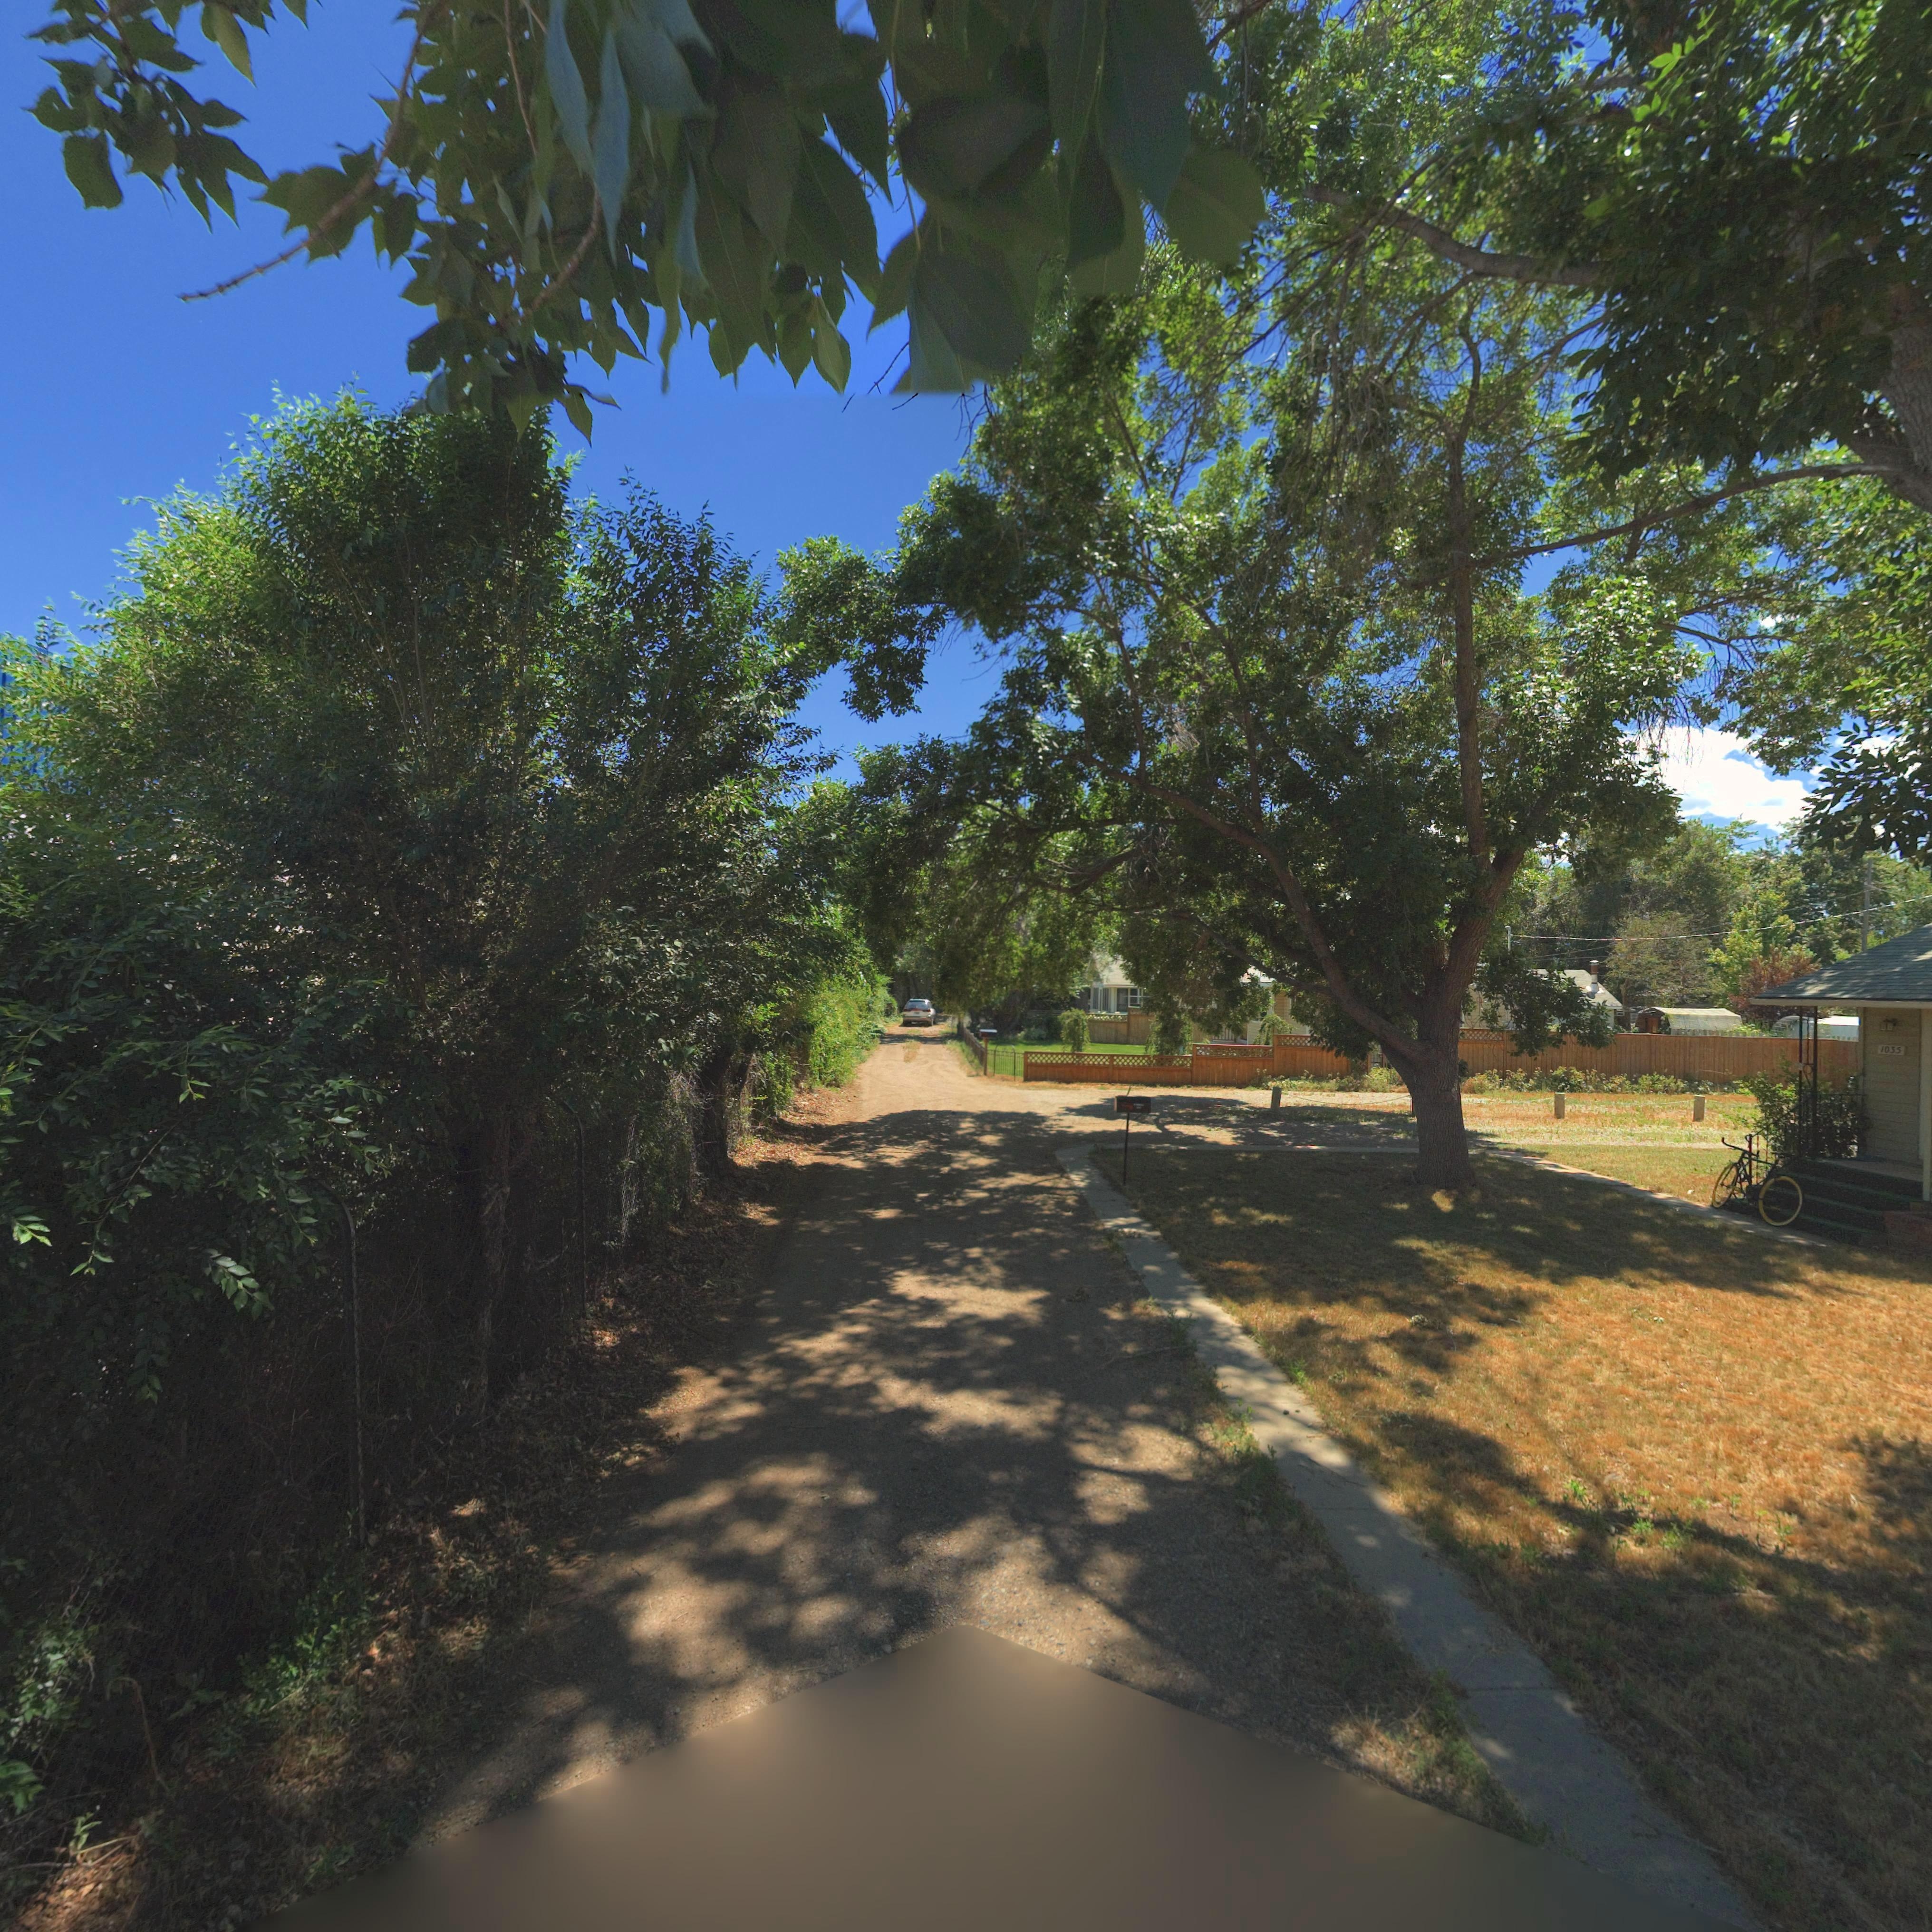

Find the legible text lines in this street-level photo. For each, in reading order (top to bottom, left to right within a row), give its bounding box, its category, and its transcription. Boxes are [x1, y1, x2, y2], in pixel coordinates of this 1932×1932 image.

[1880, 1045, 1901, 1053] StreetNumber: 1035